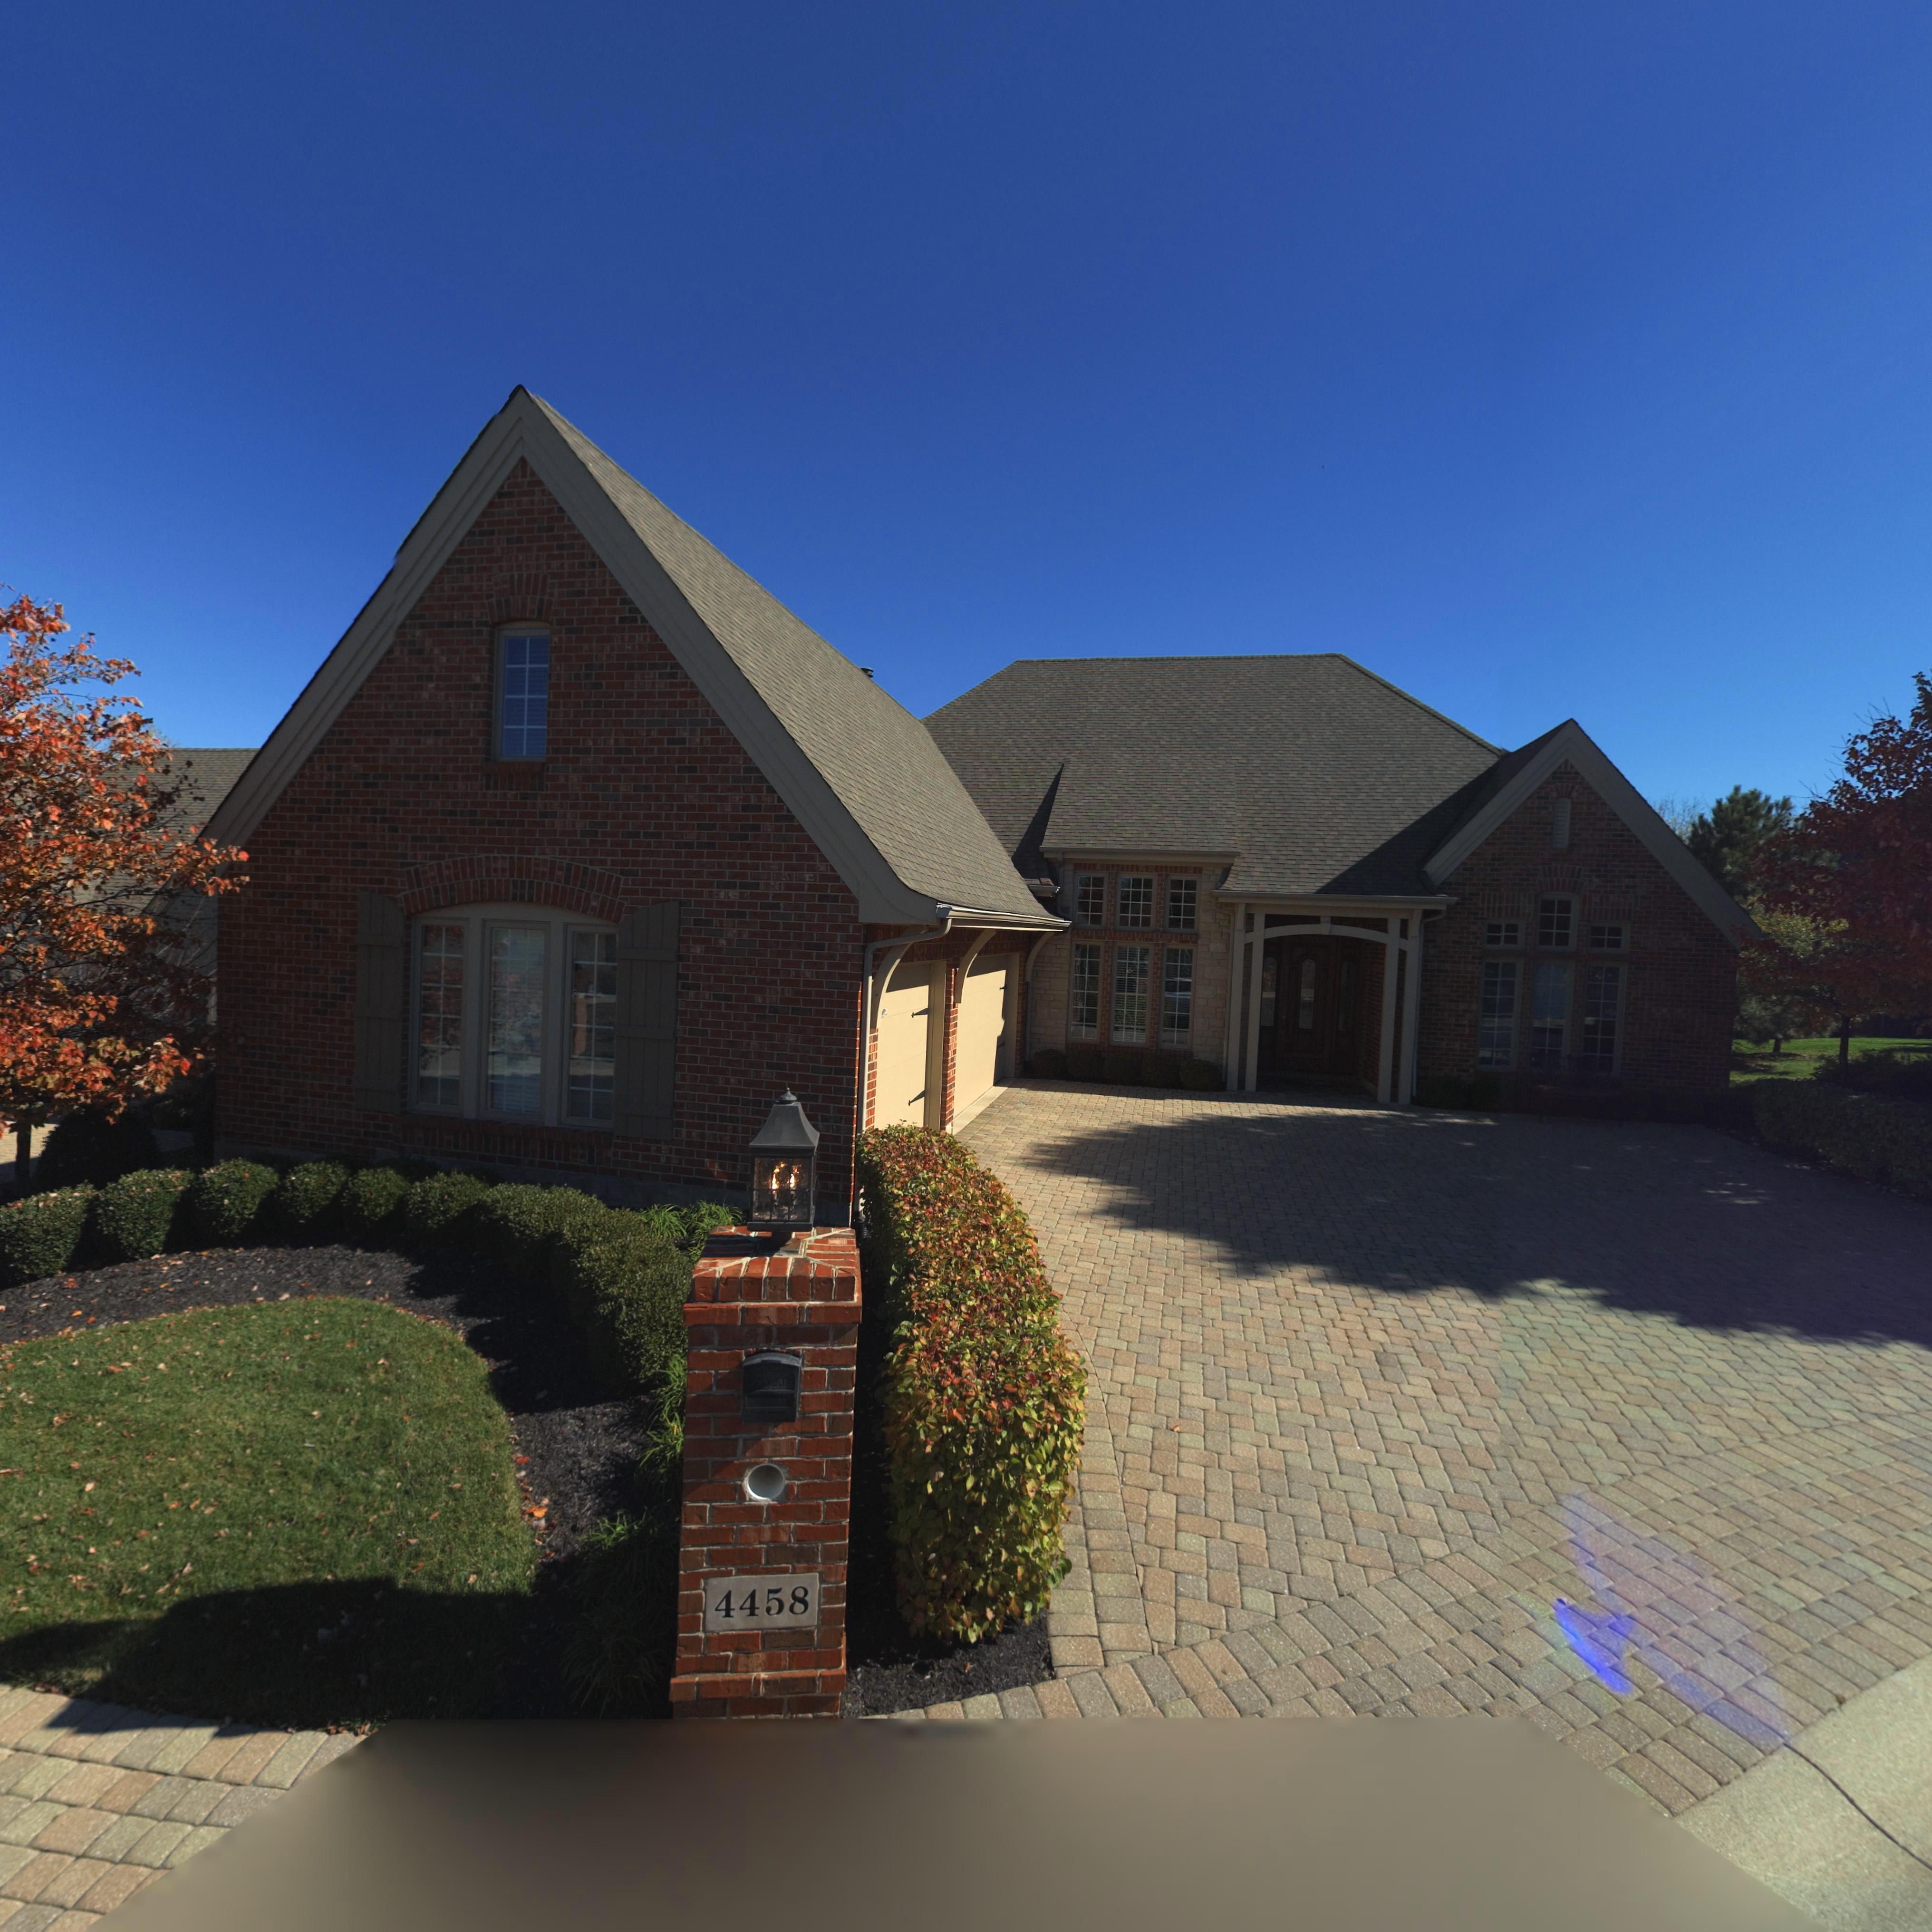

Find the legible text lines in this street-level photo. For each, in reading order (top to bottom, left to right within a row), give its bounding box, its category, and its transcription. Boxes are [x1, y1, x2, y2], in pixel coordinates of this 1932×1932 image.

[713, 1584, 811, 1621] StreetNumber: 4458